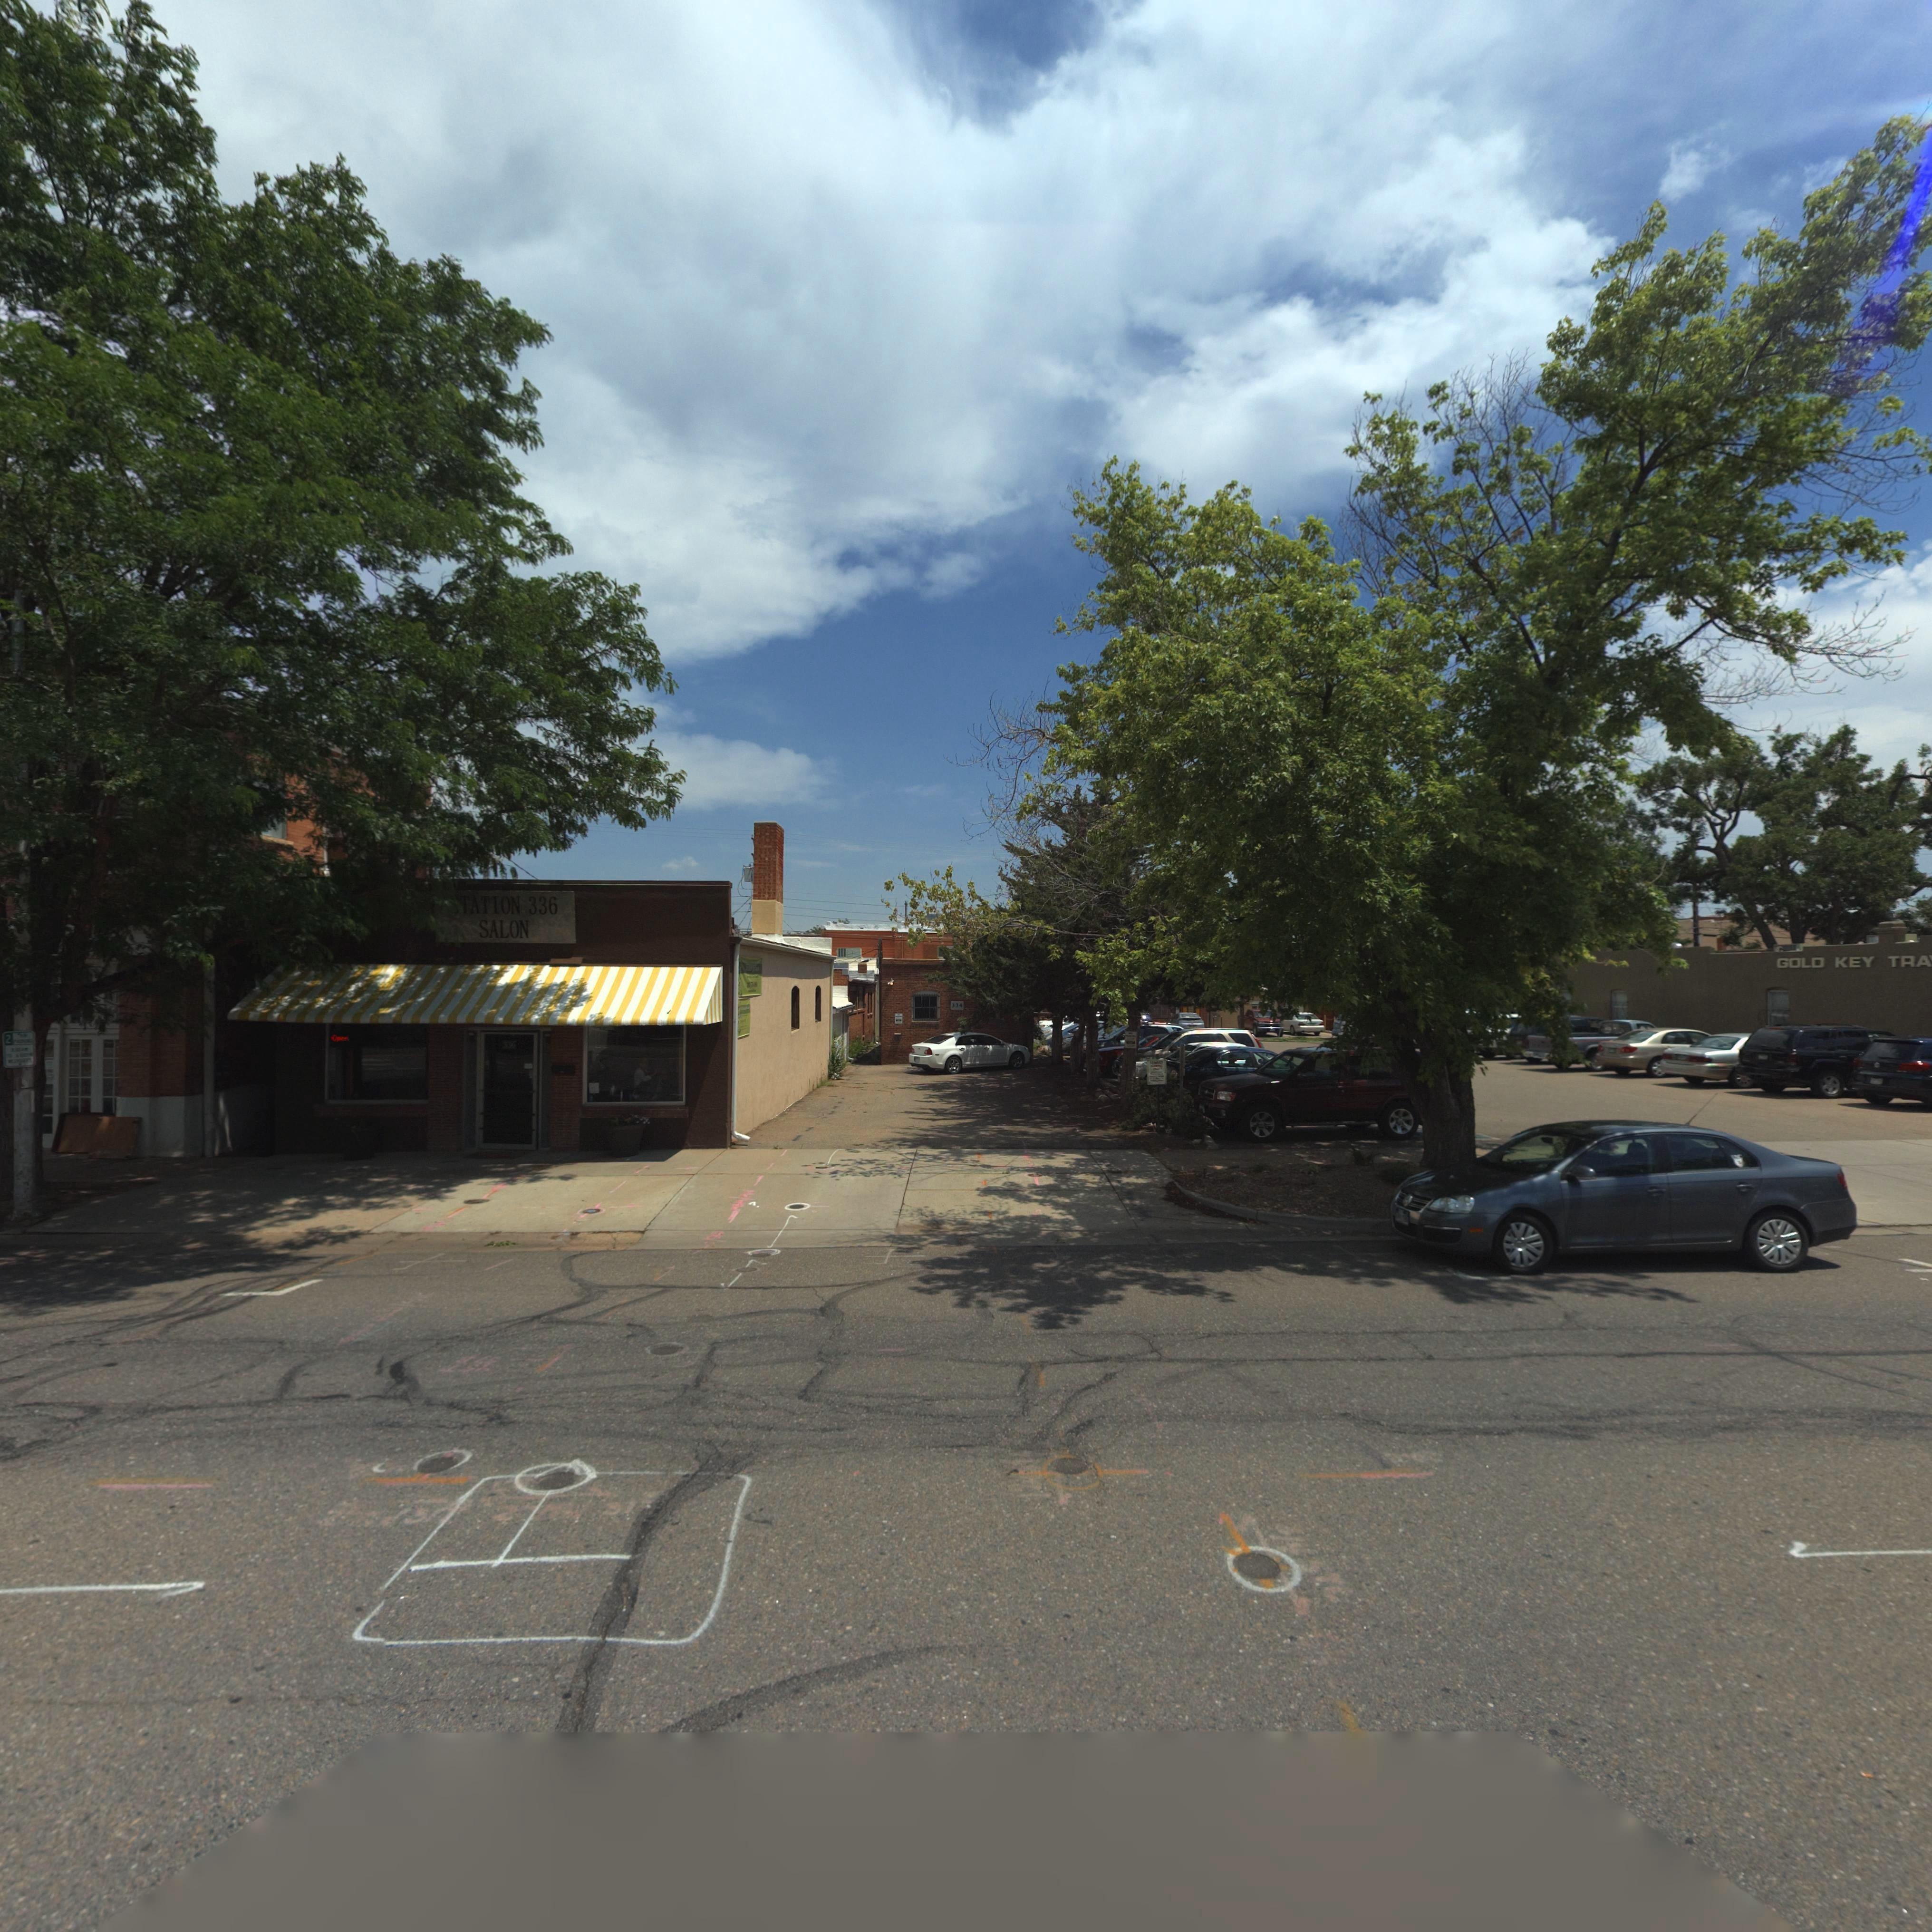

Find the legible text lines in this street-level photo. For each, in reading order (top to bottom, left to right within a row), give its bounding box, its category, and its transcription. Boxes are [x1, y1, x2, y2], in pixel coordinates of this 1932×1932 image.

[448, 895, 558, 915] BusinessName: *TATION 336
[527, 895, 558, 915] StreetNumber: 336
[479, 919, 529, 938] BusinessName: SALON
[1776, 955, 1932, 968] BusinessName: GOLD KEY TRA
[951, 1003, 963, 1008] StreetNumber: 334
[501, 1041, 517, 1049] StreetNumber: *36